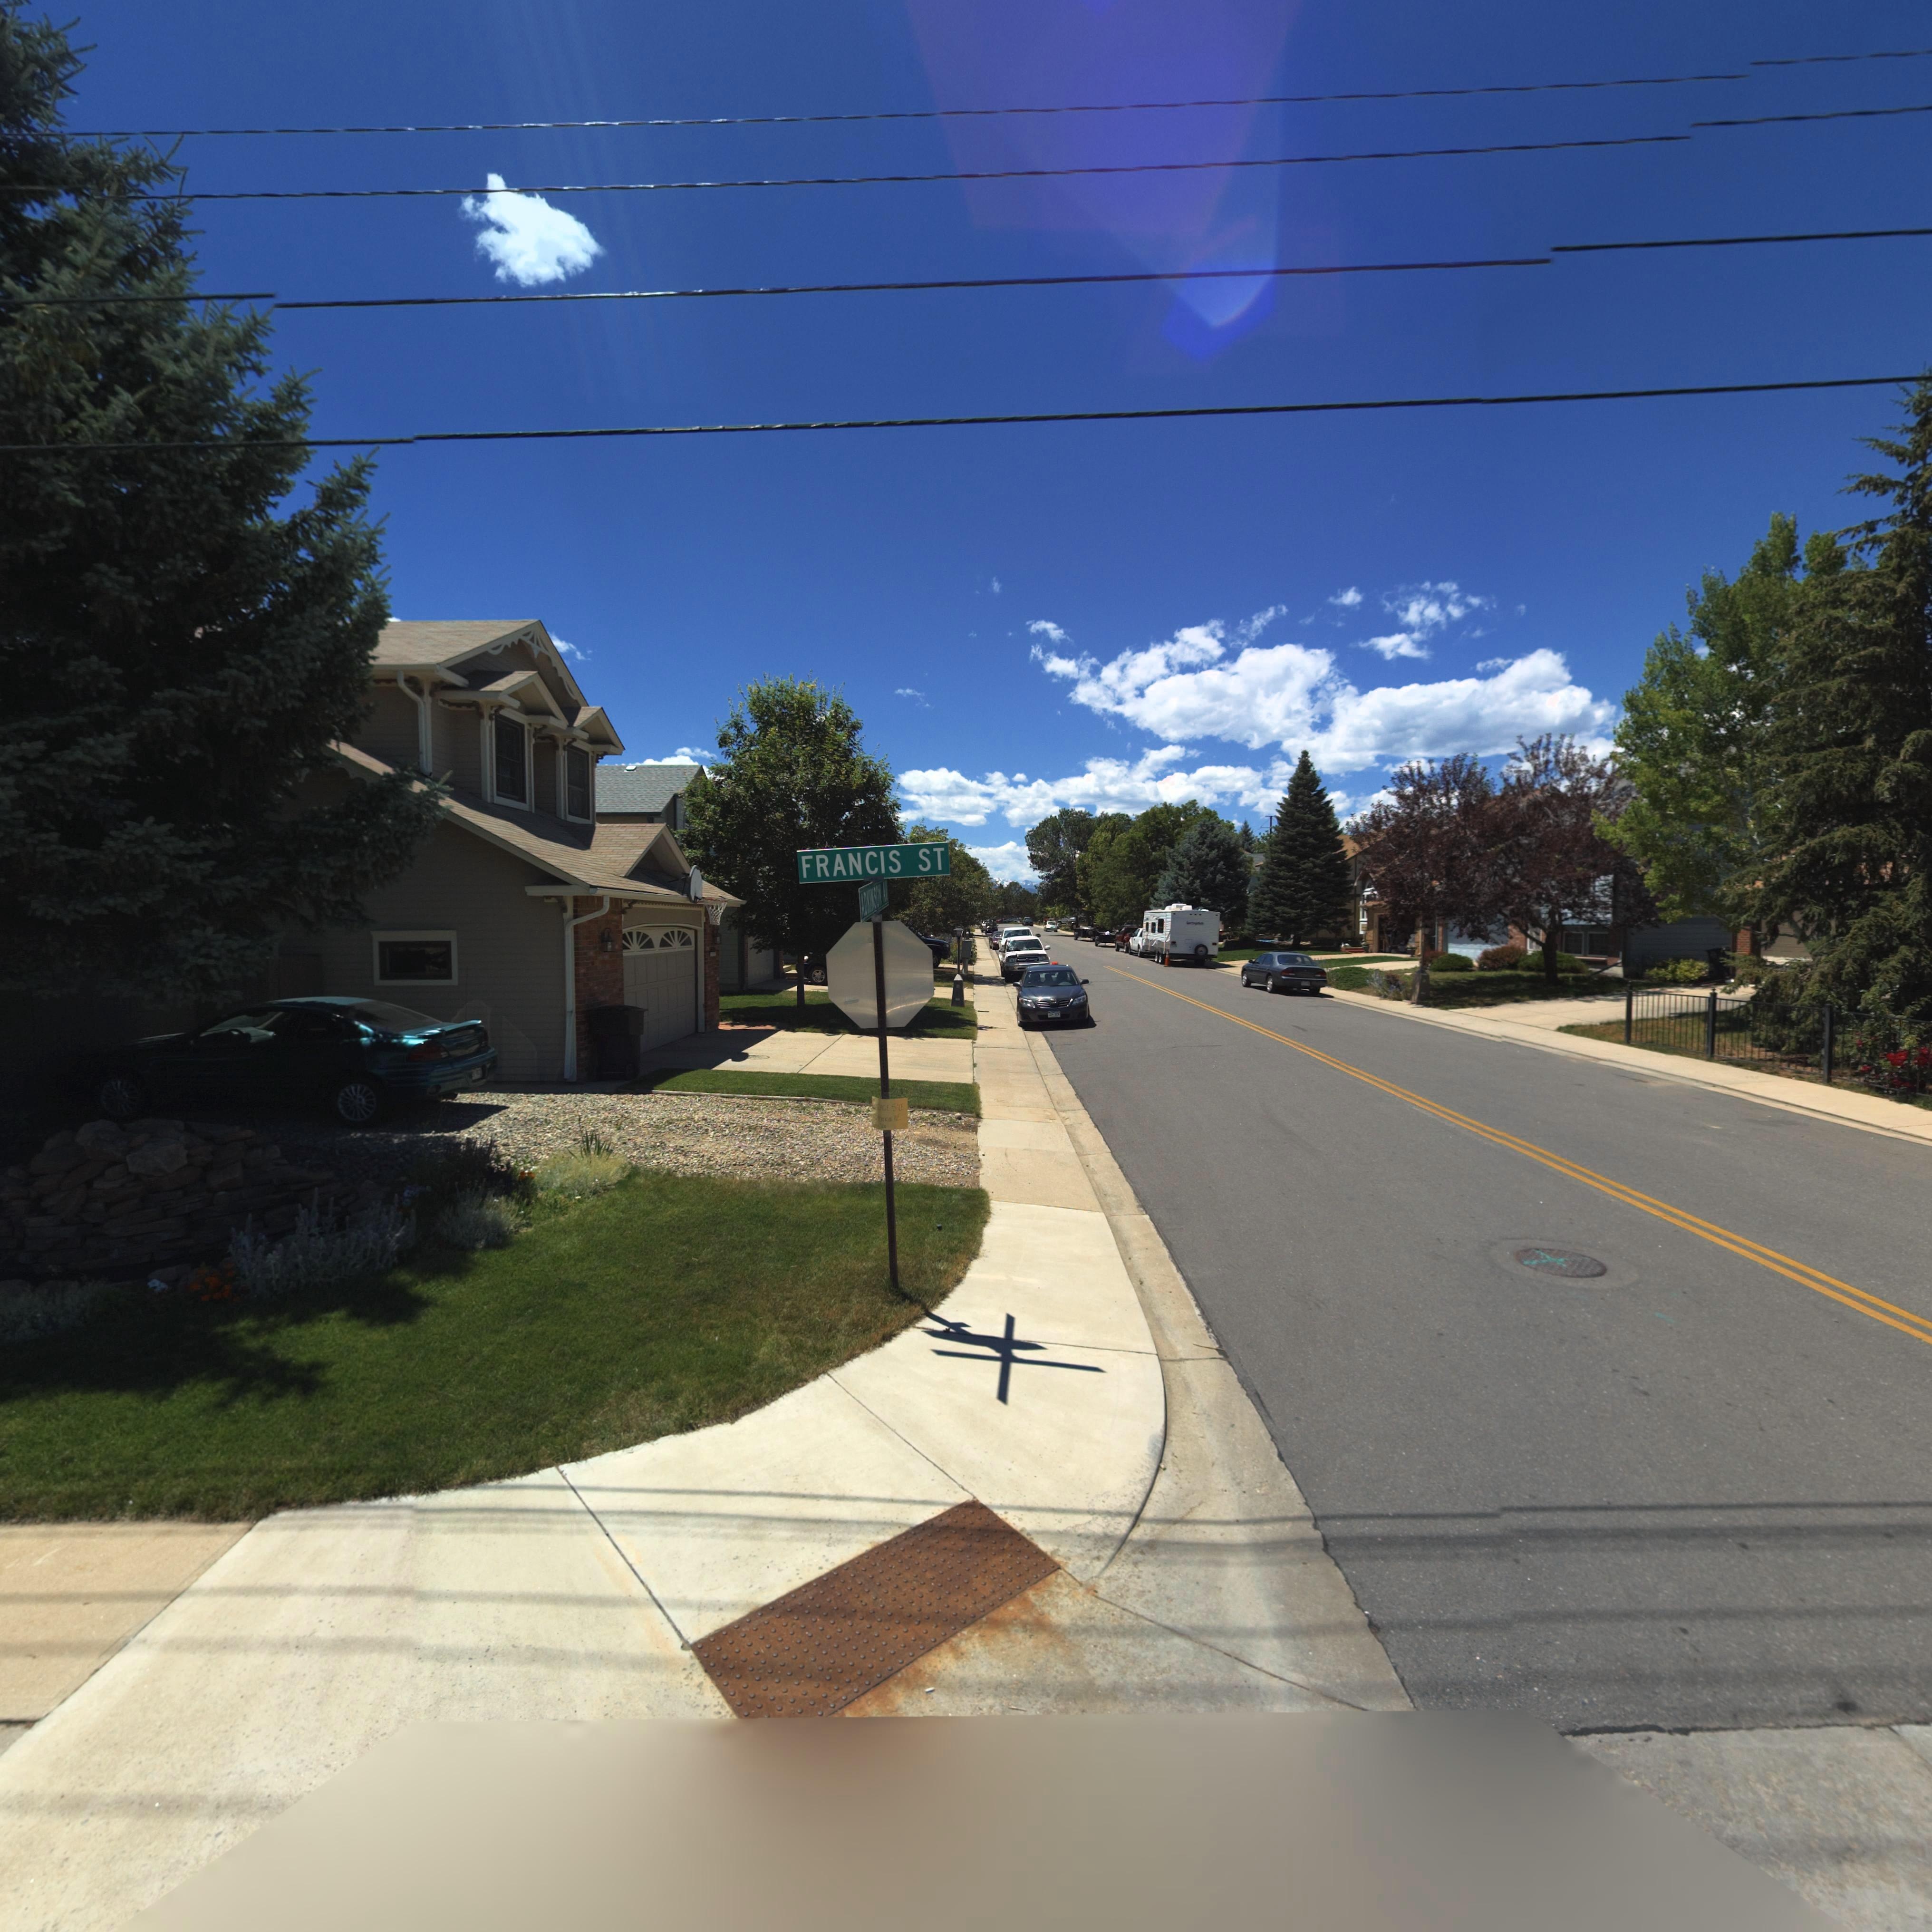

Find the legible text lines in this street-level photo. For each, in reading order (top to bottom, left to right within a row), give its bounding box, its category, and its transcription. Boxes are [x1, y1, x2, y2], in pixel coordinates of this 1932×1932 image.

[800, 846, 946, 879] StreetName: FRANCIS ST
[860, 879, 888, 918] StreetName: AD**NSO* A*